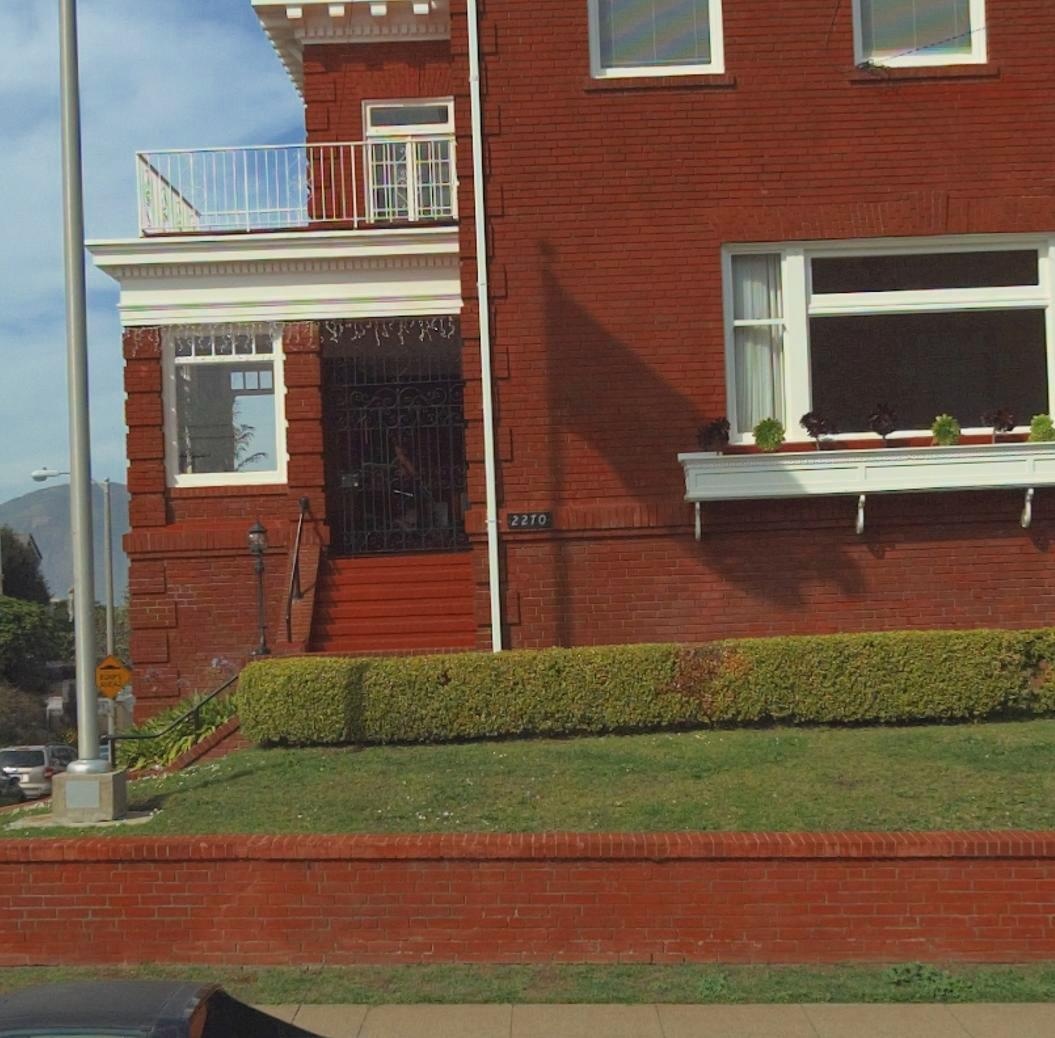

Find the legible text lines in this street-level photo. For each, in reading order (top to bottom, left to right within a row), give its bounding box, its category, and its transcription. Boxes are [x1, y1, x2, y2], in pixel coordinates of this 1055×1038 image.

[509, 512, 548, 528] StreetNumber: 2270